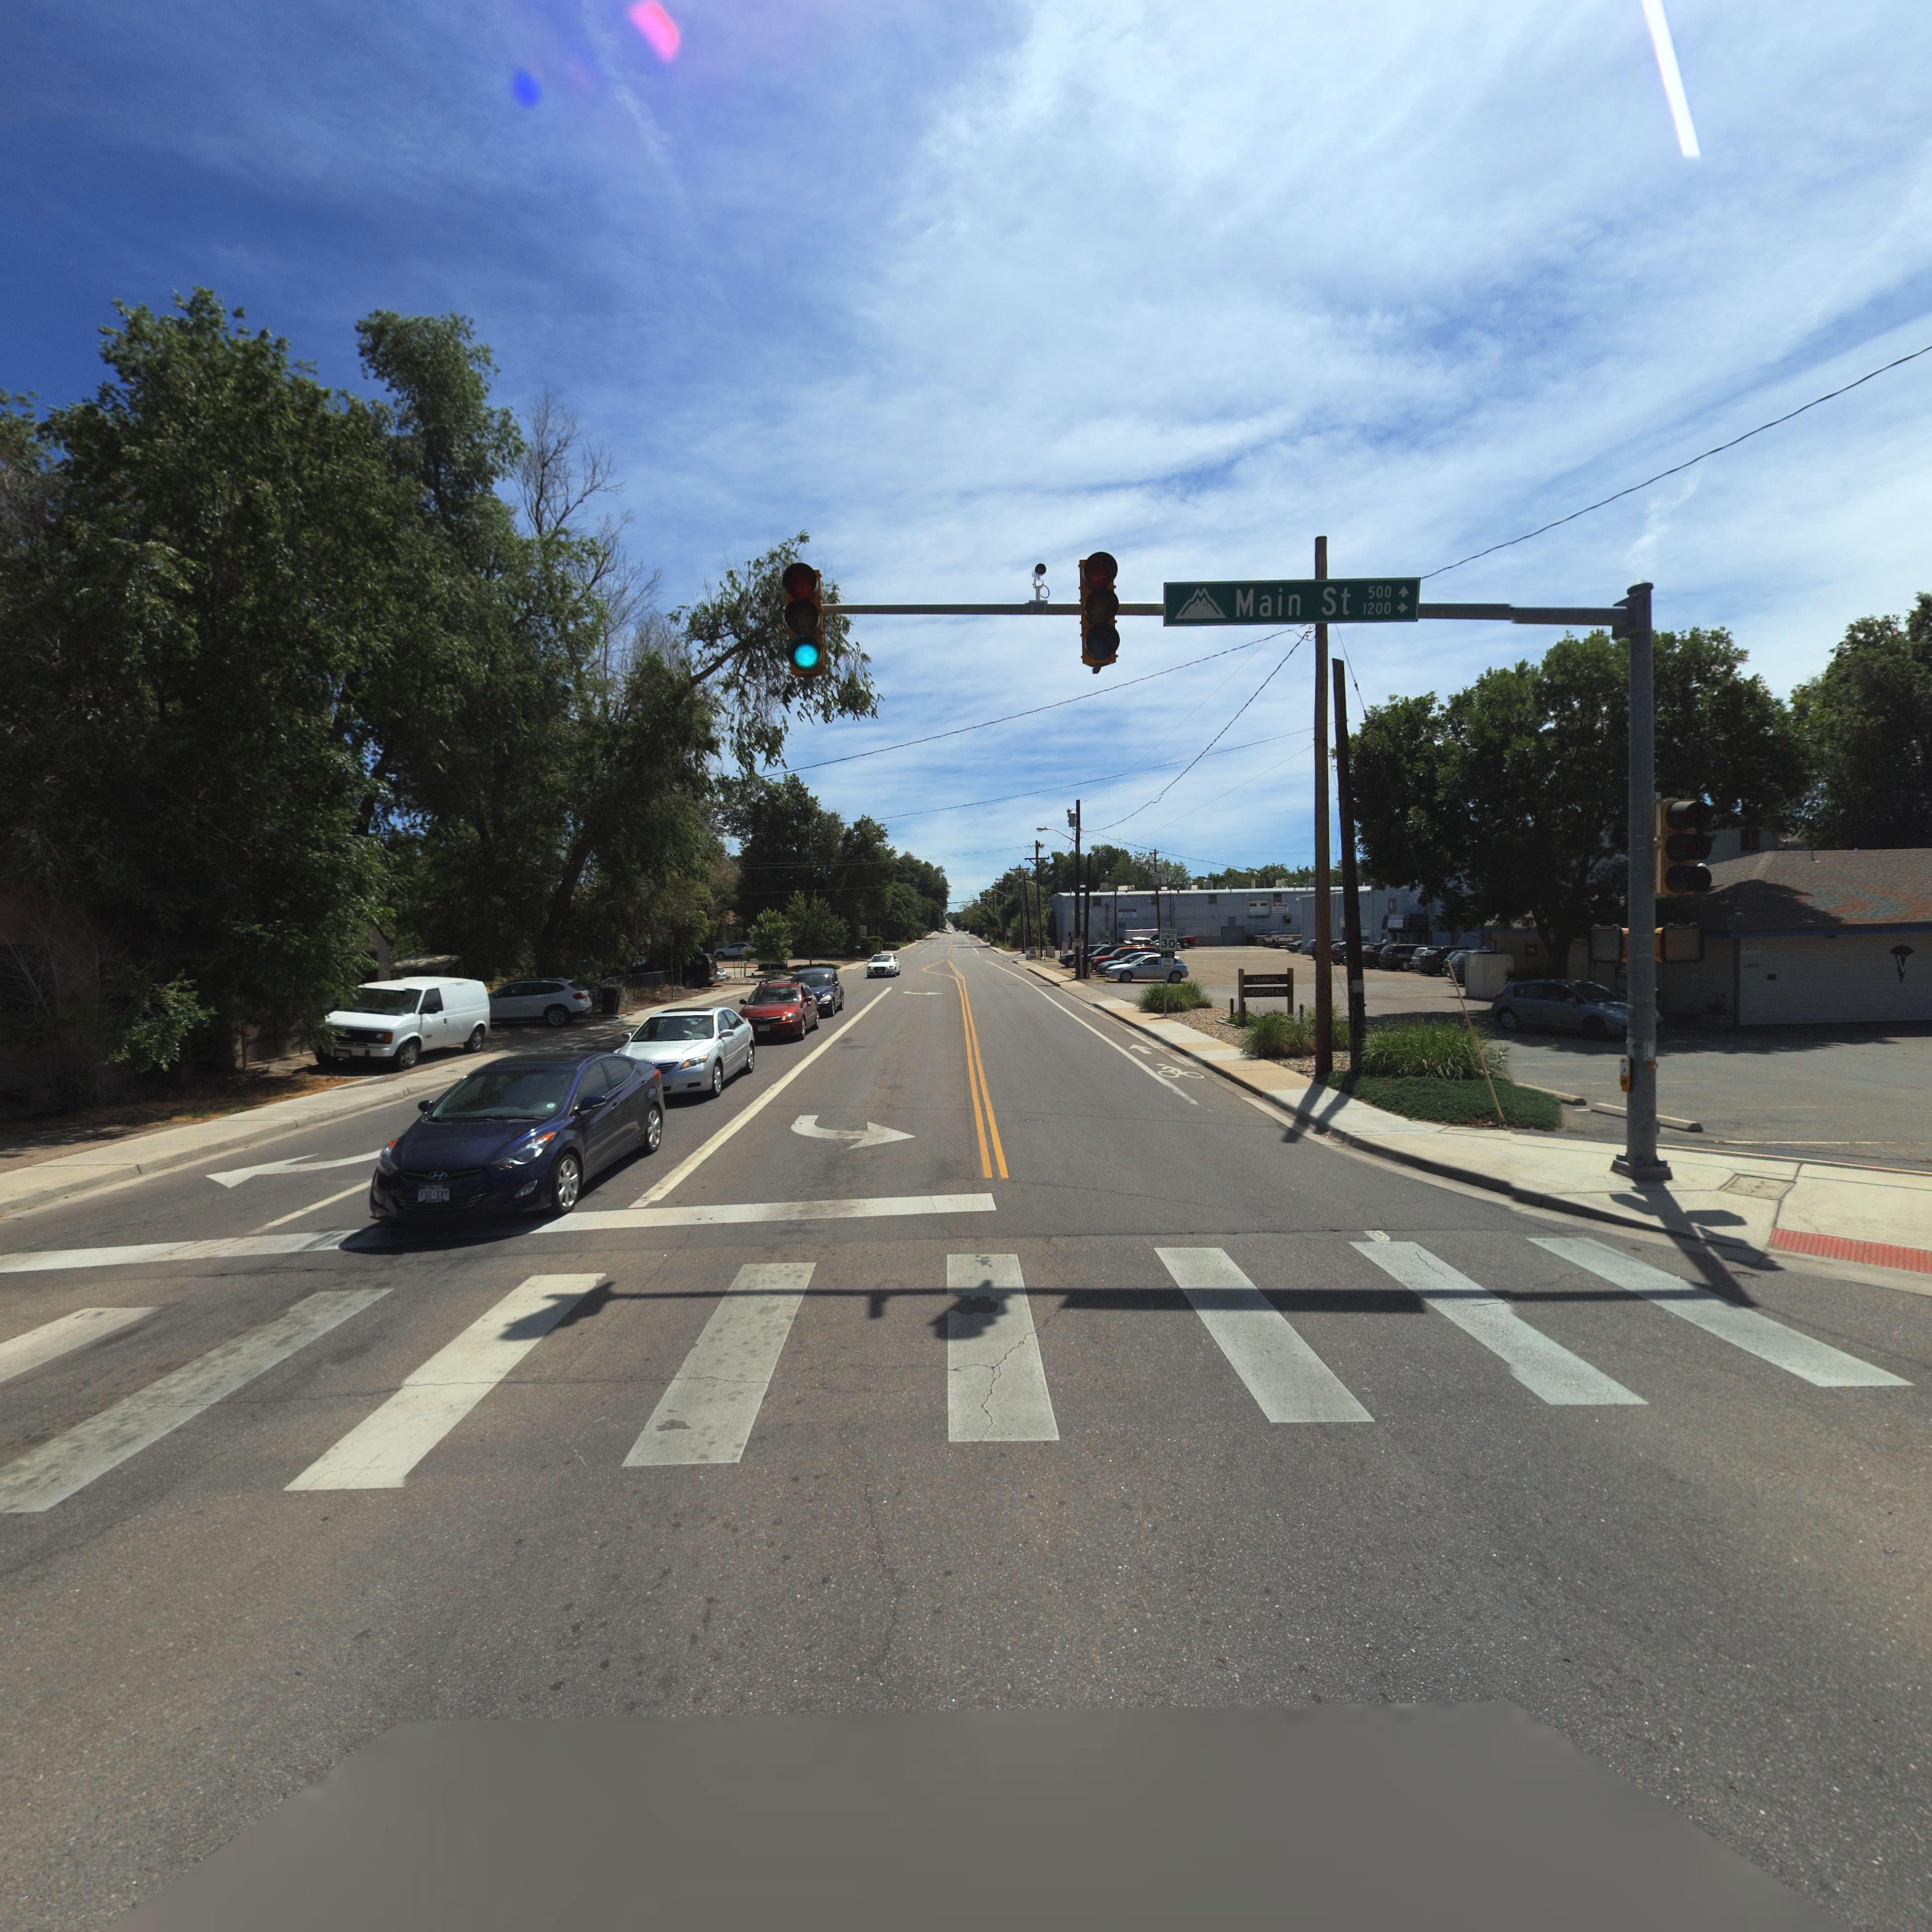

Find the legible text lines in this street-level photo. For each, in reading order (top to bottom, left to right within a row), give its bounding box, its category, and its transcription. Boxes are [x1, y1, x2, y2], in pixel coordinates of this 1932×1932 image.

[1368, 585, 1392, 599] StreetNumberRange: 500
[1236, 587, 1352, 618] StreetName: Main St
[1362, 602, 1409, 615] StreetNumberRange: 1200->
[1743, 962, 1759, 968] StreetNumber: 12**
[1252, 976, 1279, 982] BusinessName: ANIMAL
[1247, 988, 1285, 995] BusinessName: HOSPITAL